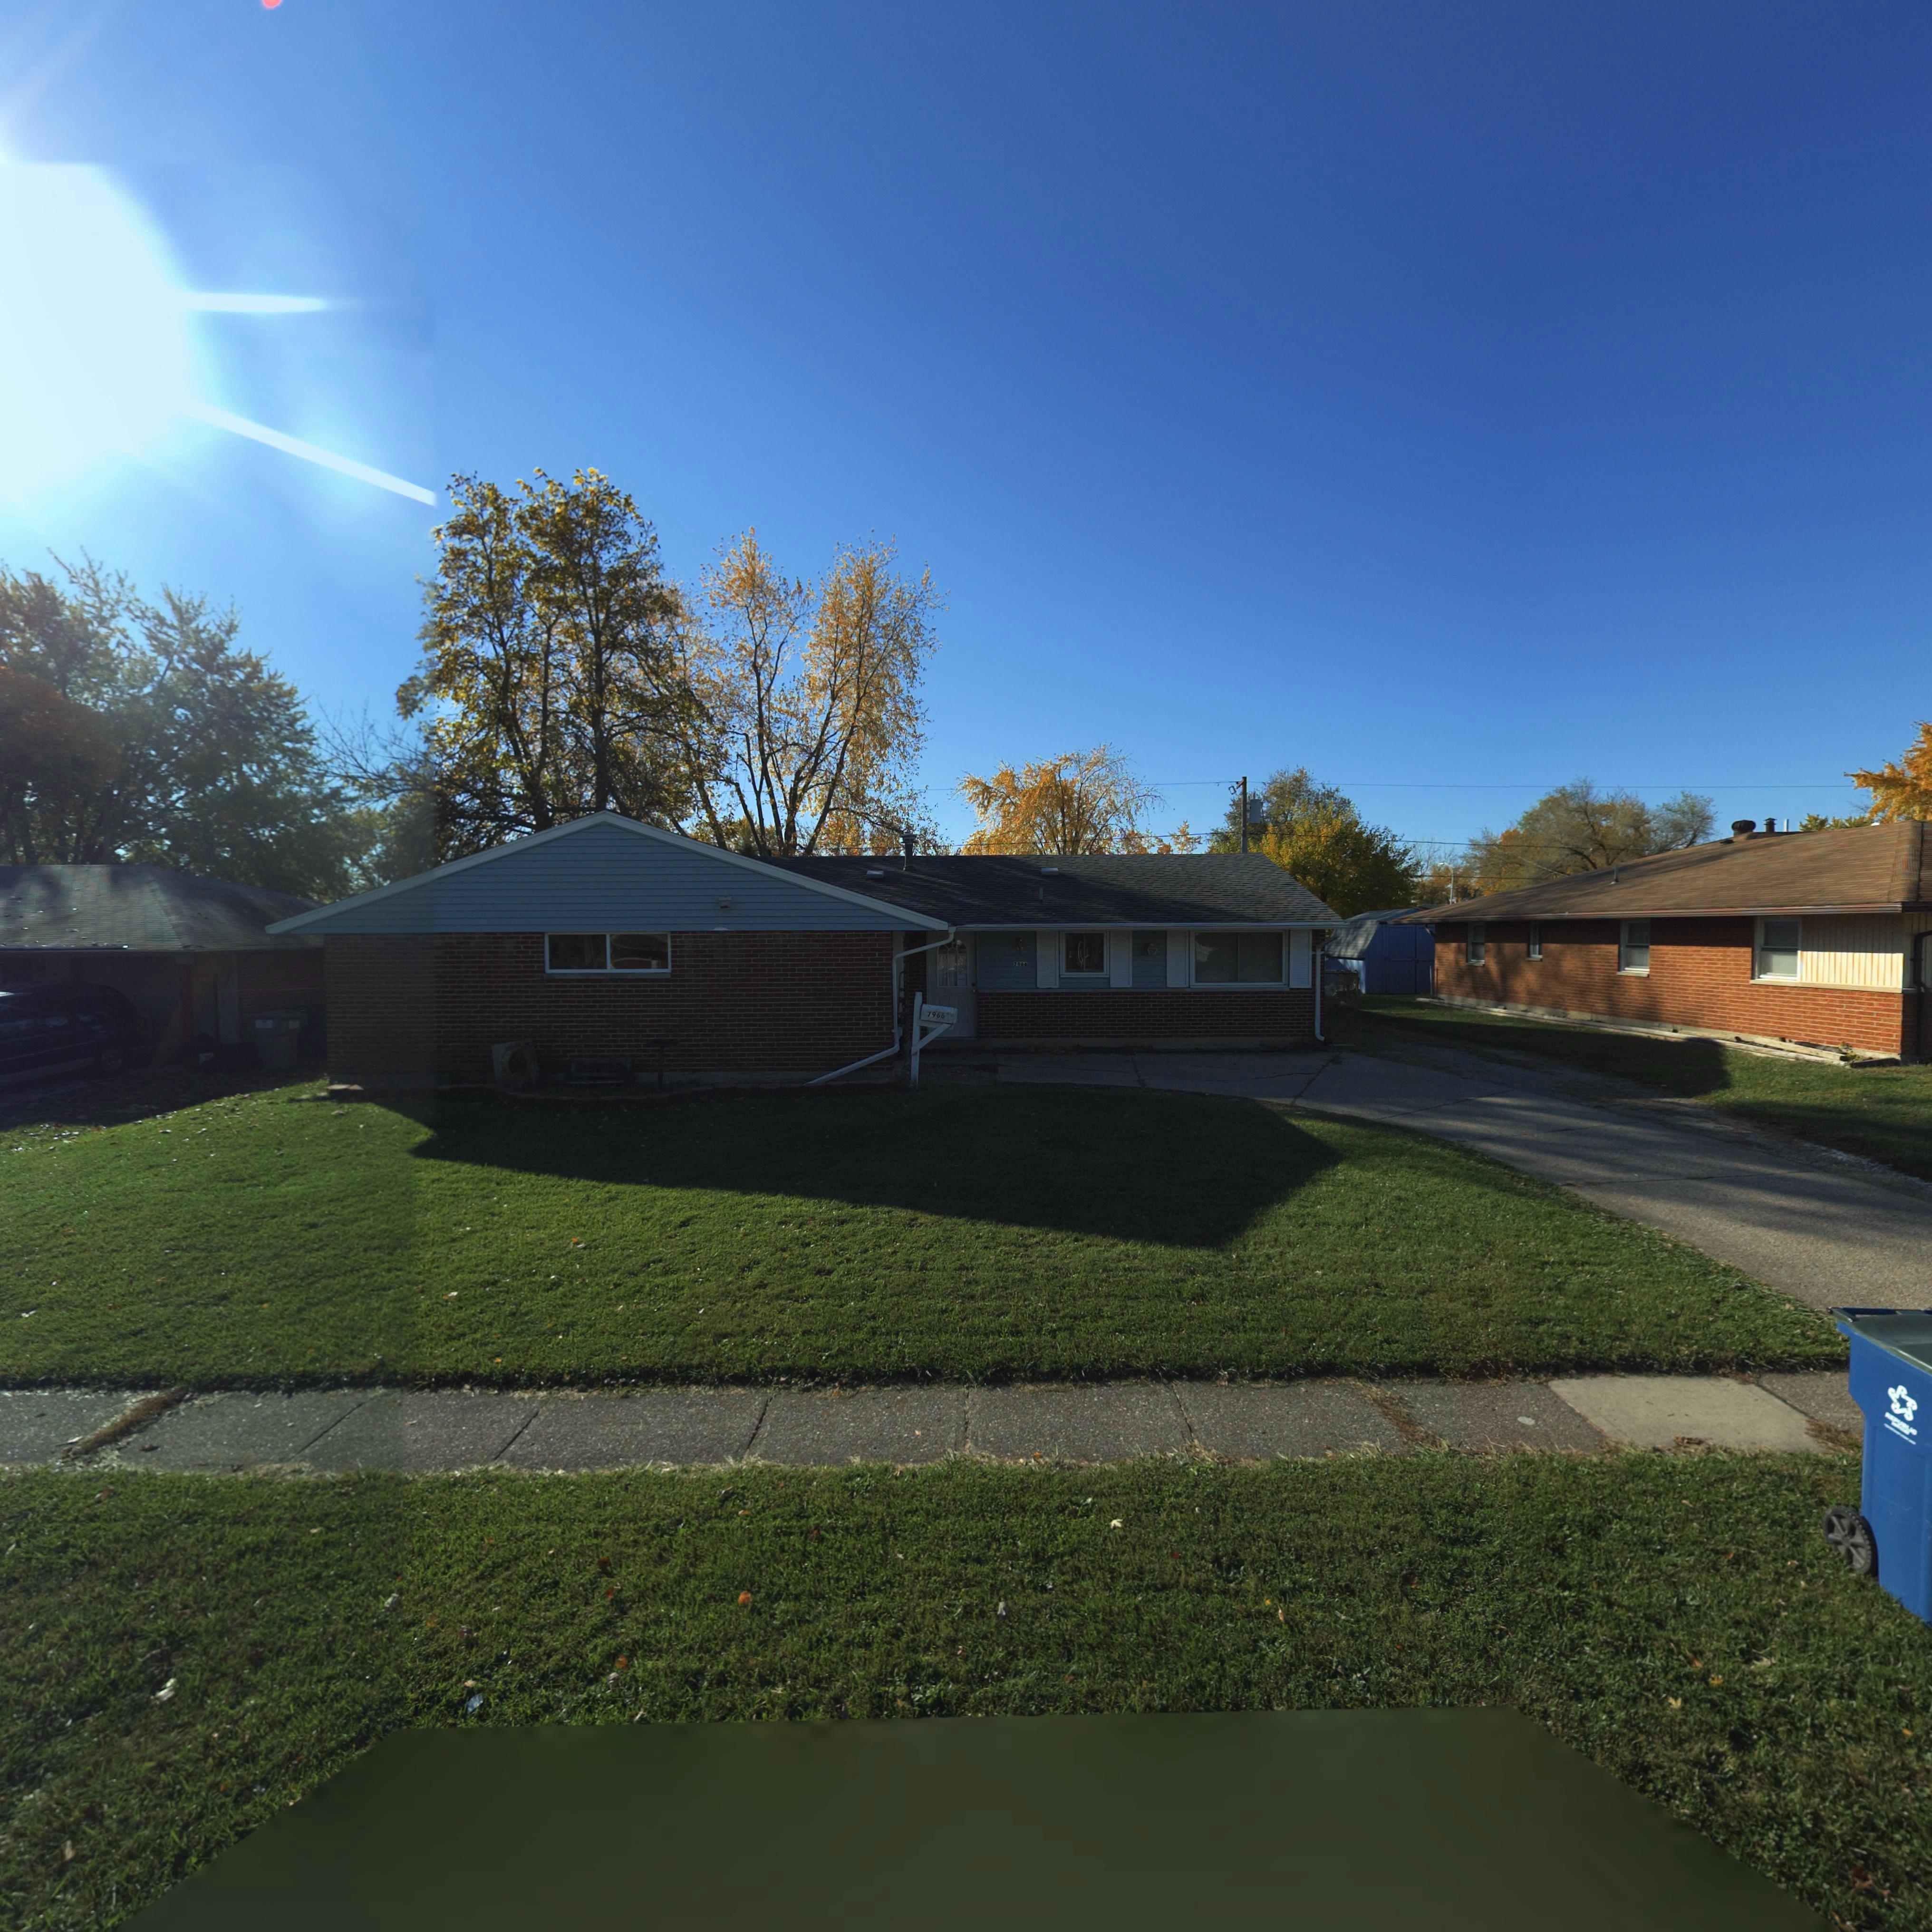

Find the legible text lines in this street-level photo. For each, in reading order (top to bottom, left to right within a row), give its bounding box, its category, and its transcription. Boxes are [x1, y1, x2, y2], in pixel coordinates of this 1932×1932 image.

[1014, 961, 1028, 967] StreetNumber: 7966
[926, 1010, 946, 1020] StreetNumber: 7966